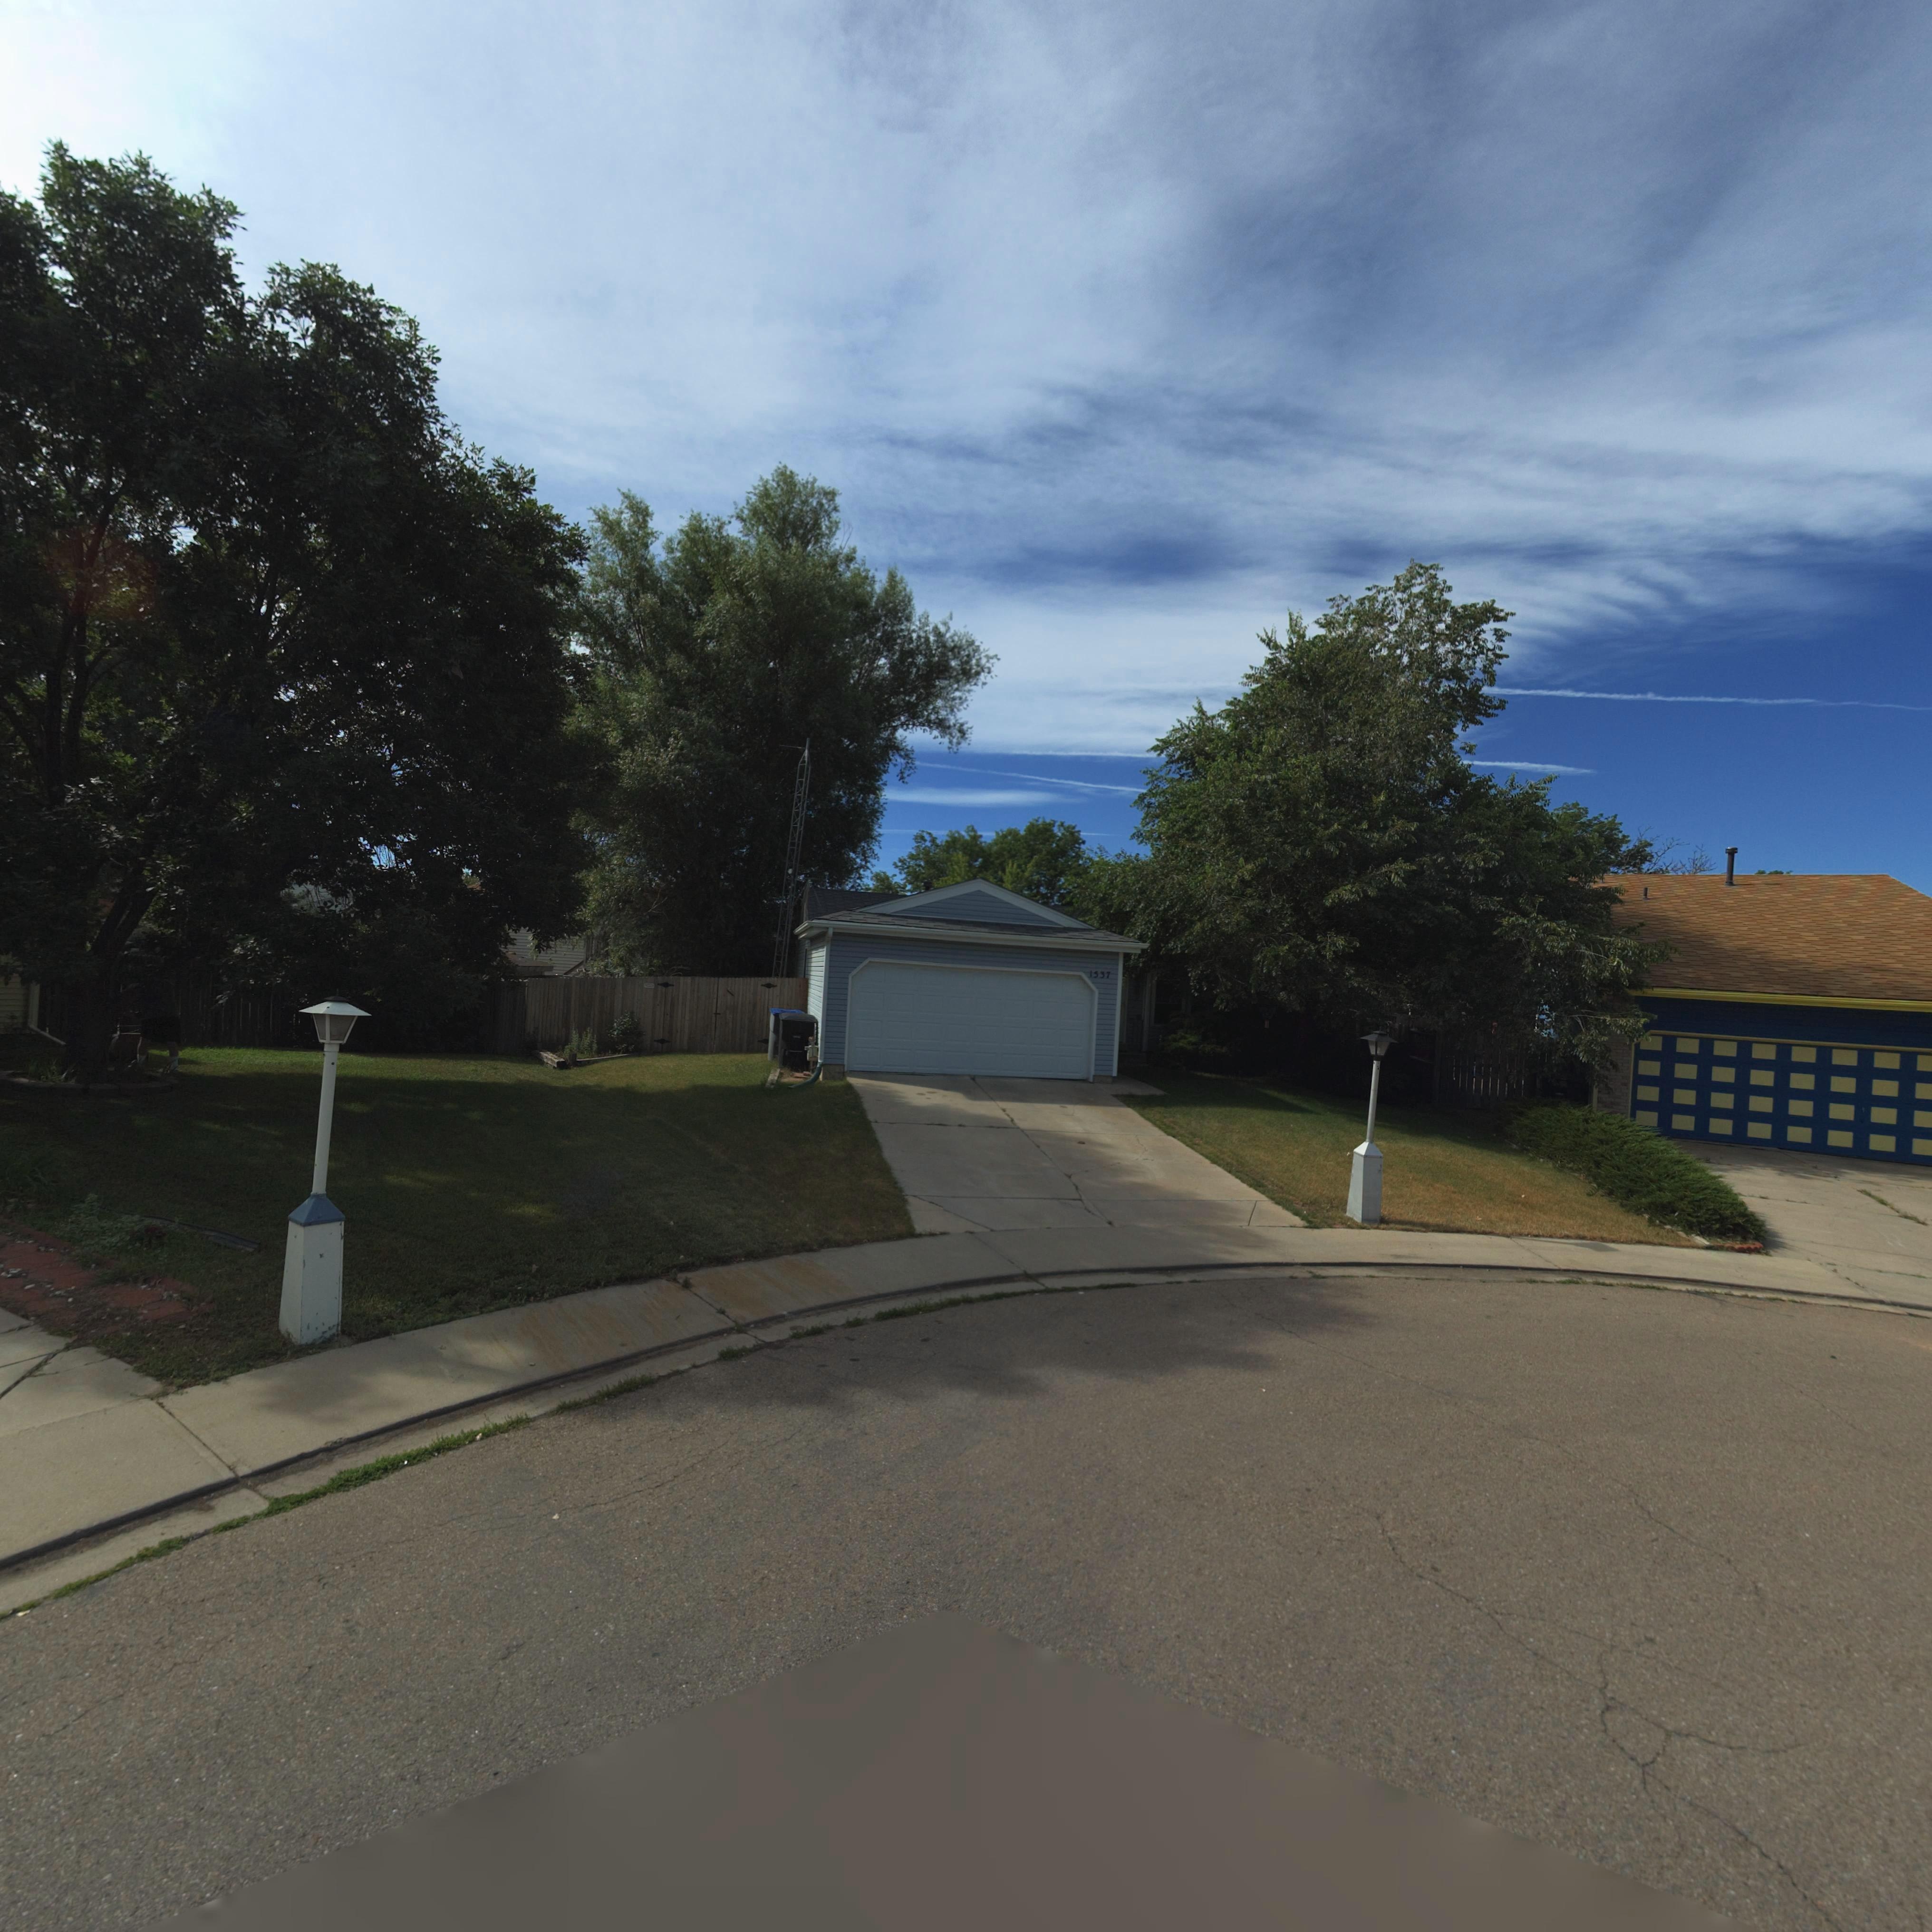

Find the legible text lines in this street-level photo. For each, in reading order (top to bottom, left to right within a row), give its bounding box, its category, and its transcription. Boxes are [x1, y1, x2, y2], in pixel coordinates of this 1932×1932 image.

[1090, 969, 1111, 979] StreetNumber: 1537